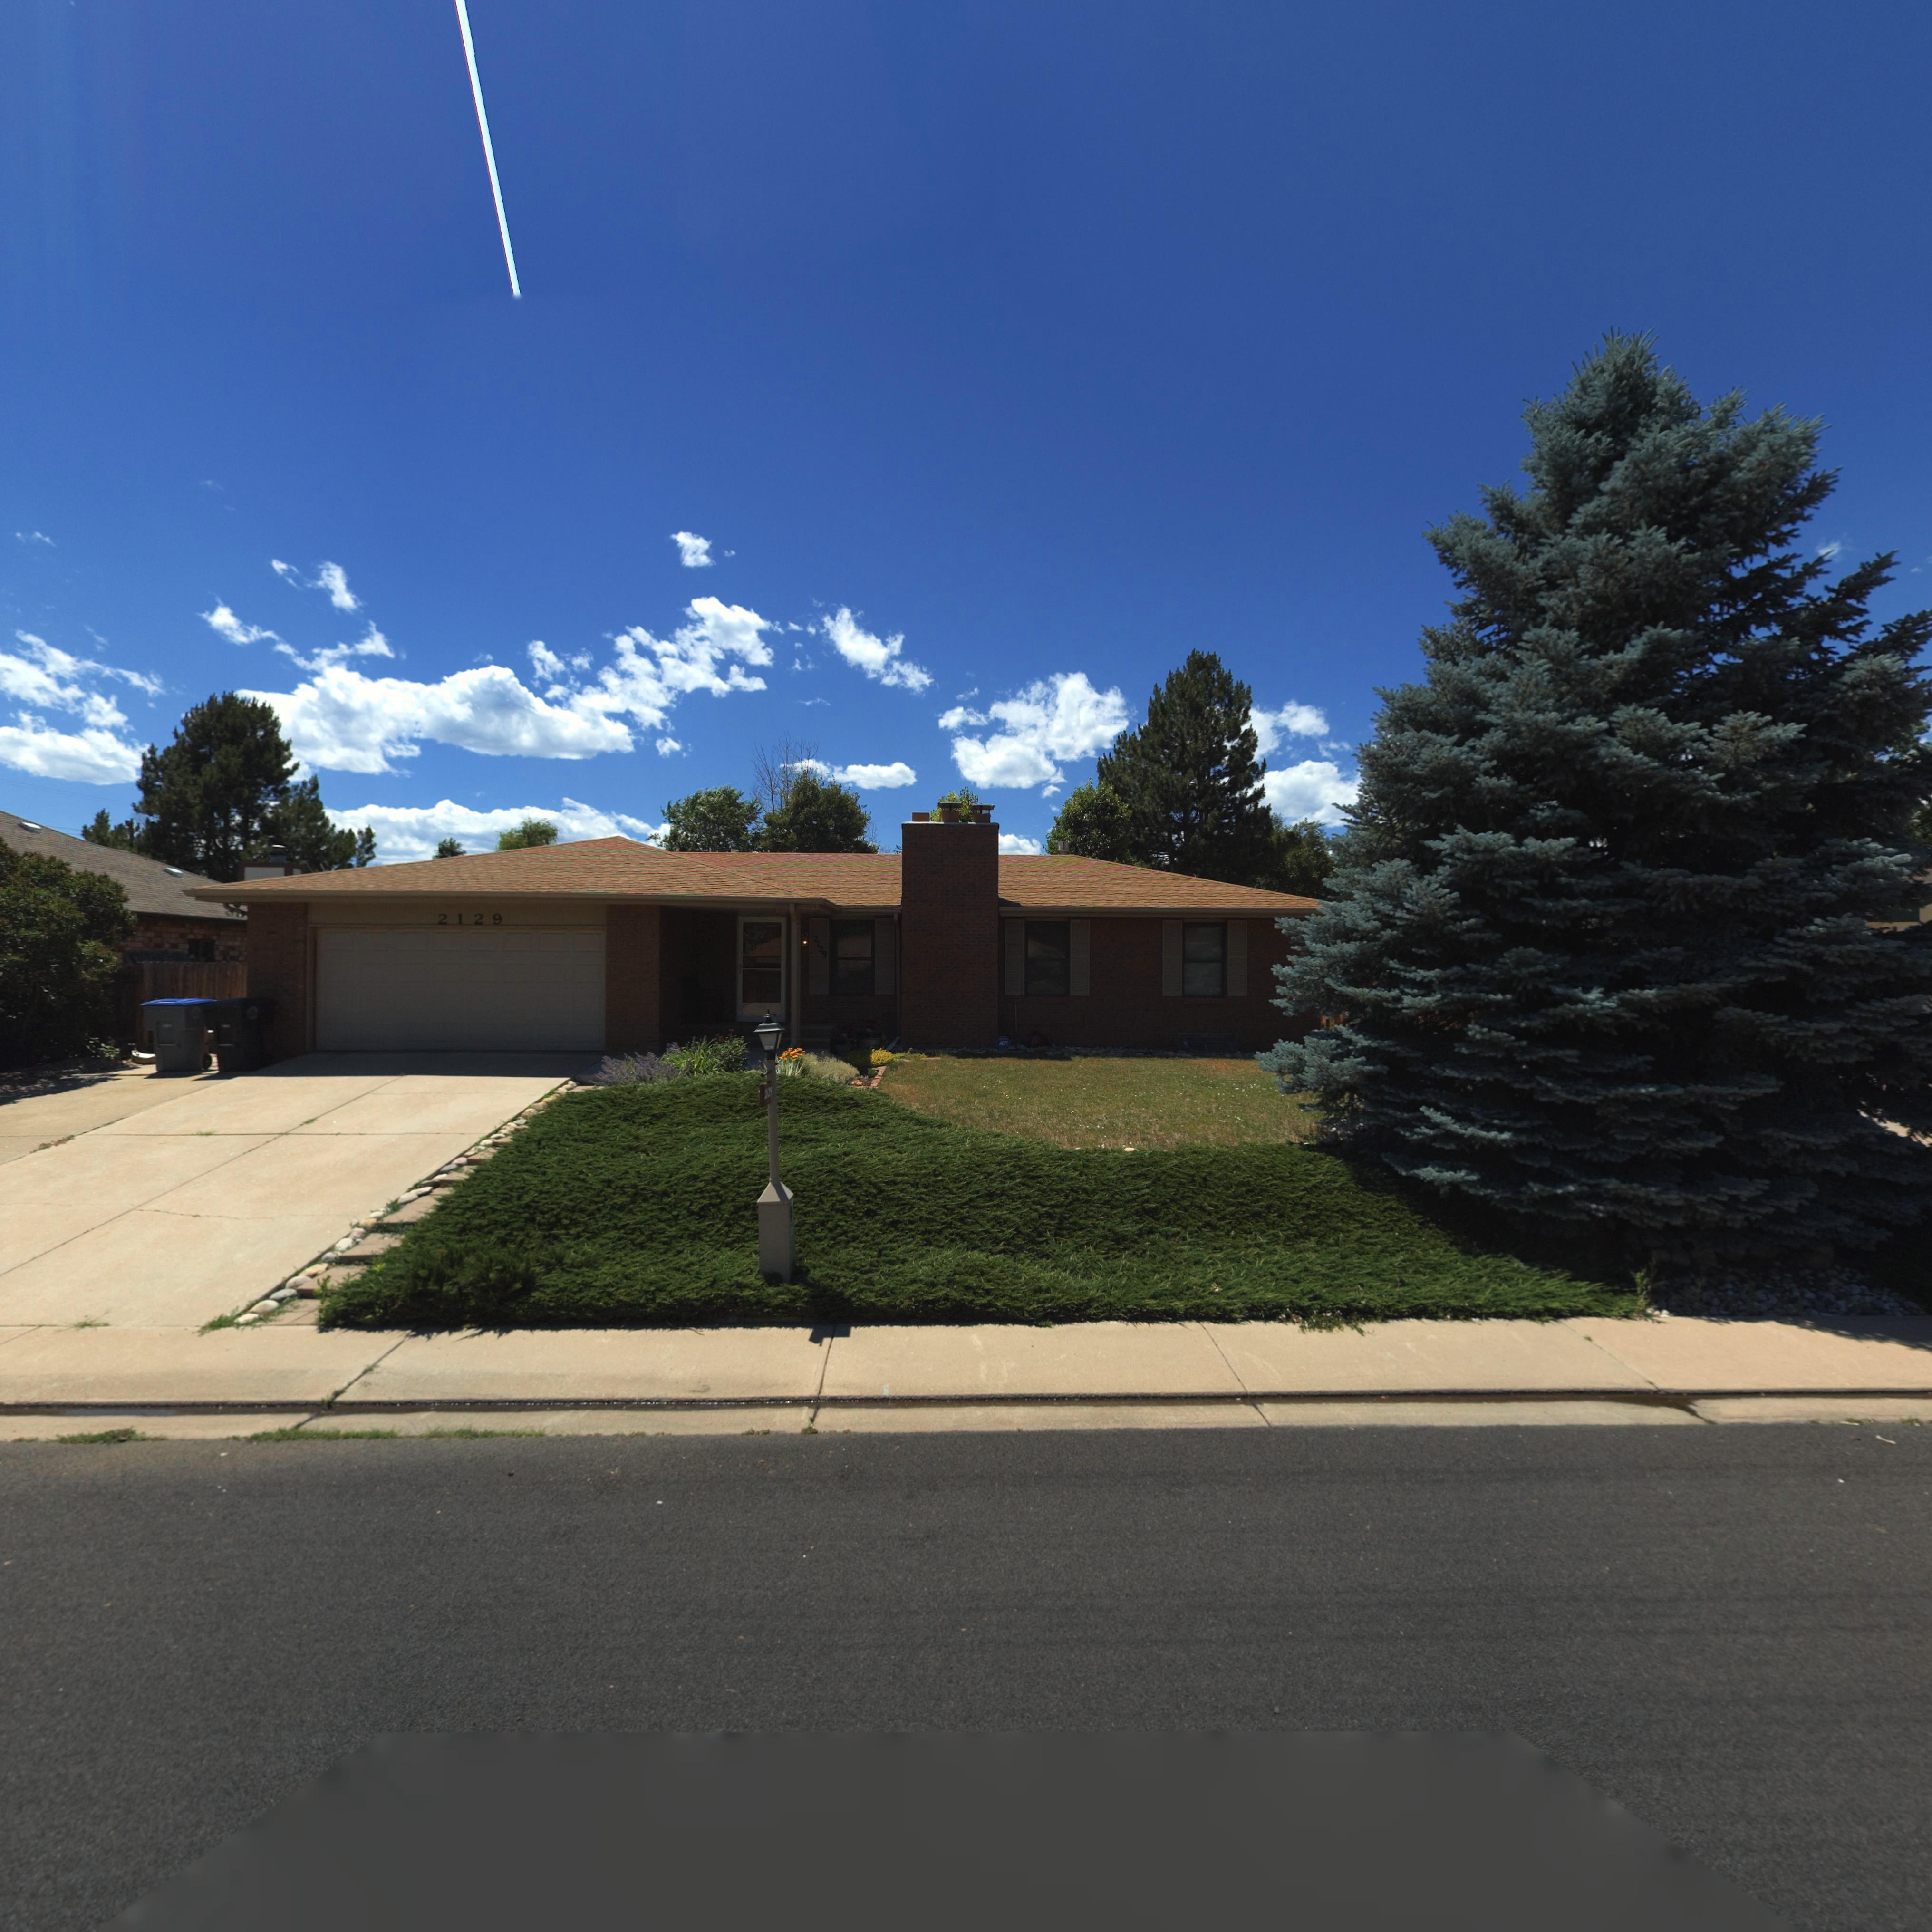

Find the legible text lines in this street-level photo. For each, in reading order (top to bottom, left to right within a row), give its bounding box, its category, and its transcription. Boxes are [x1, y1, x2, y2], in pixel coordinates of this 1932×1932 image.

[437, 912, 503, 926] StreetNumber: 2129
[812, 935, 827, 958] StreetNumber: 2129
[764, 1085, 773, 1099] StreetNumber: 2*29